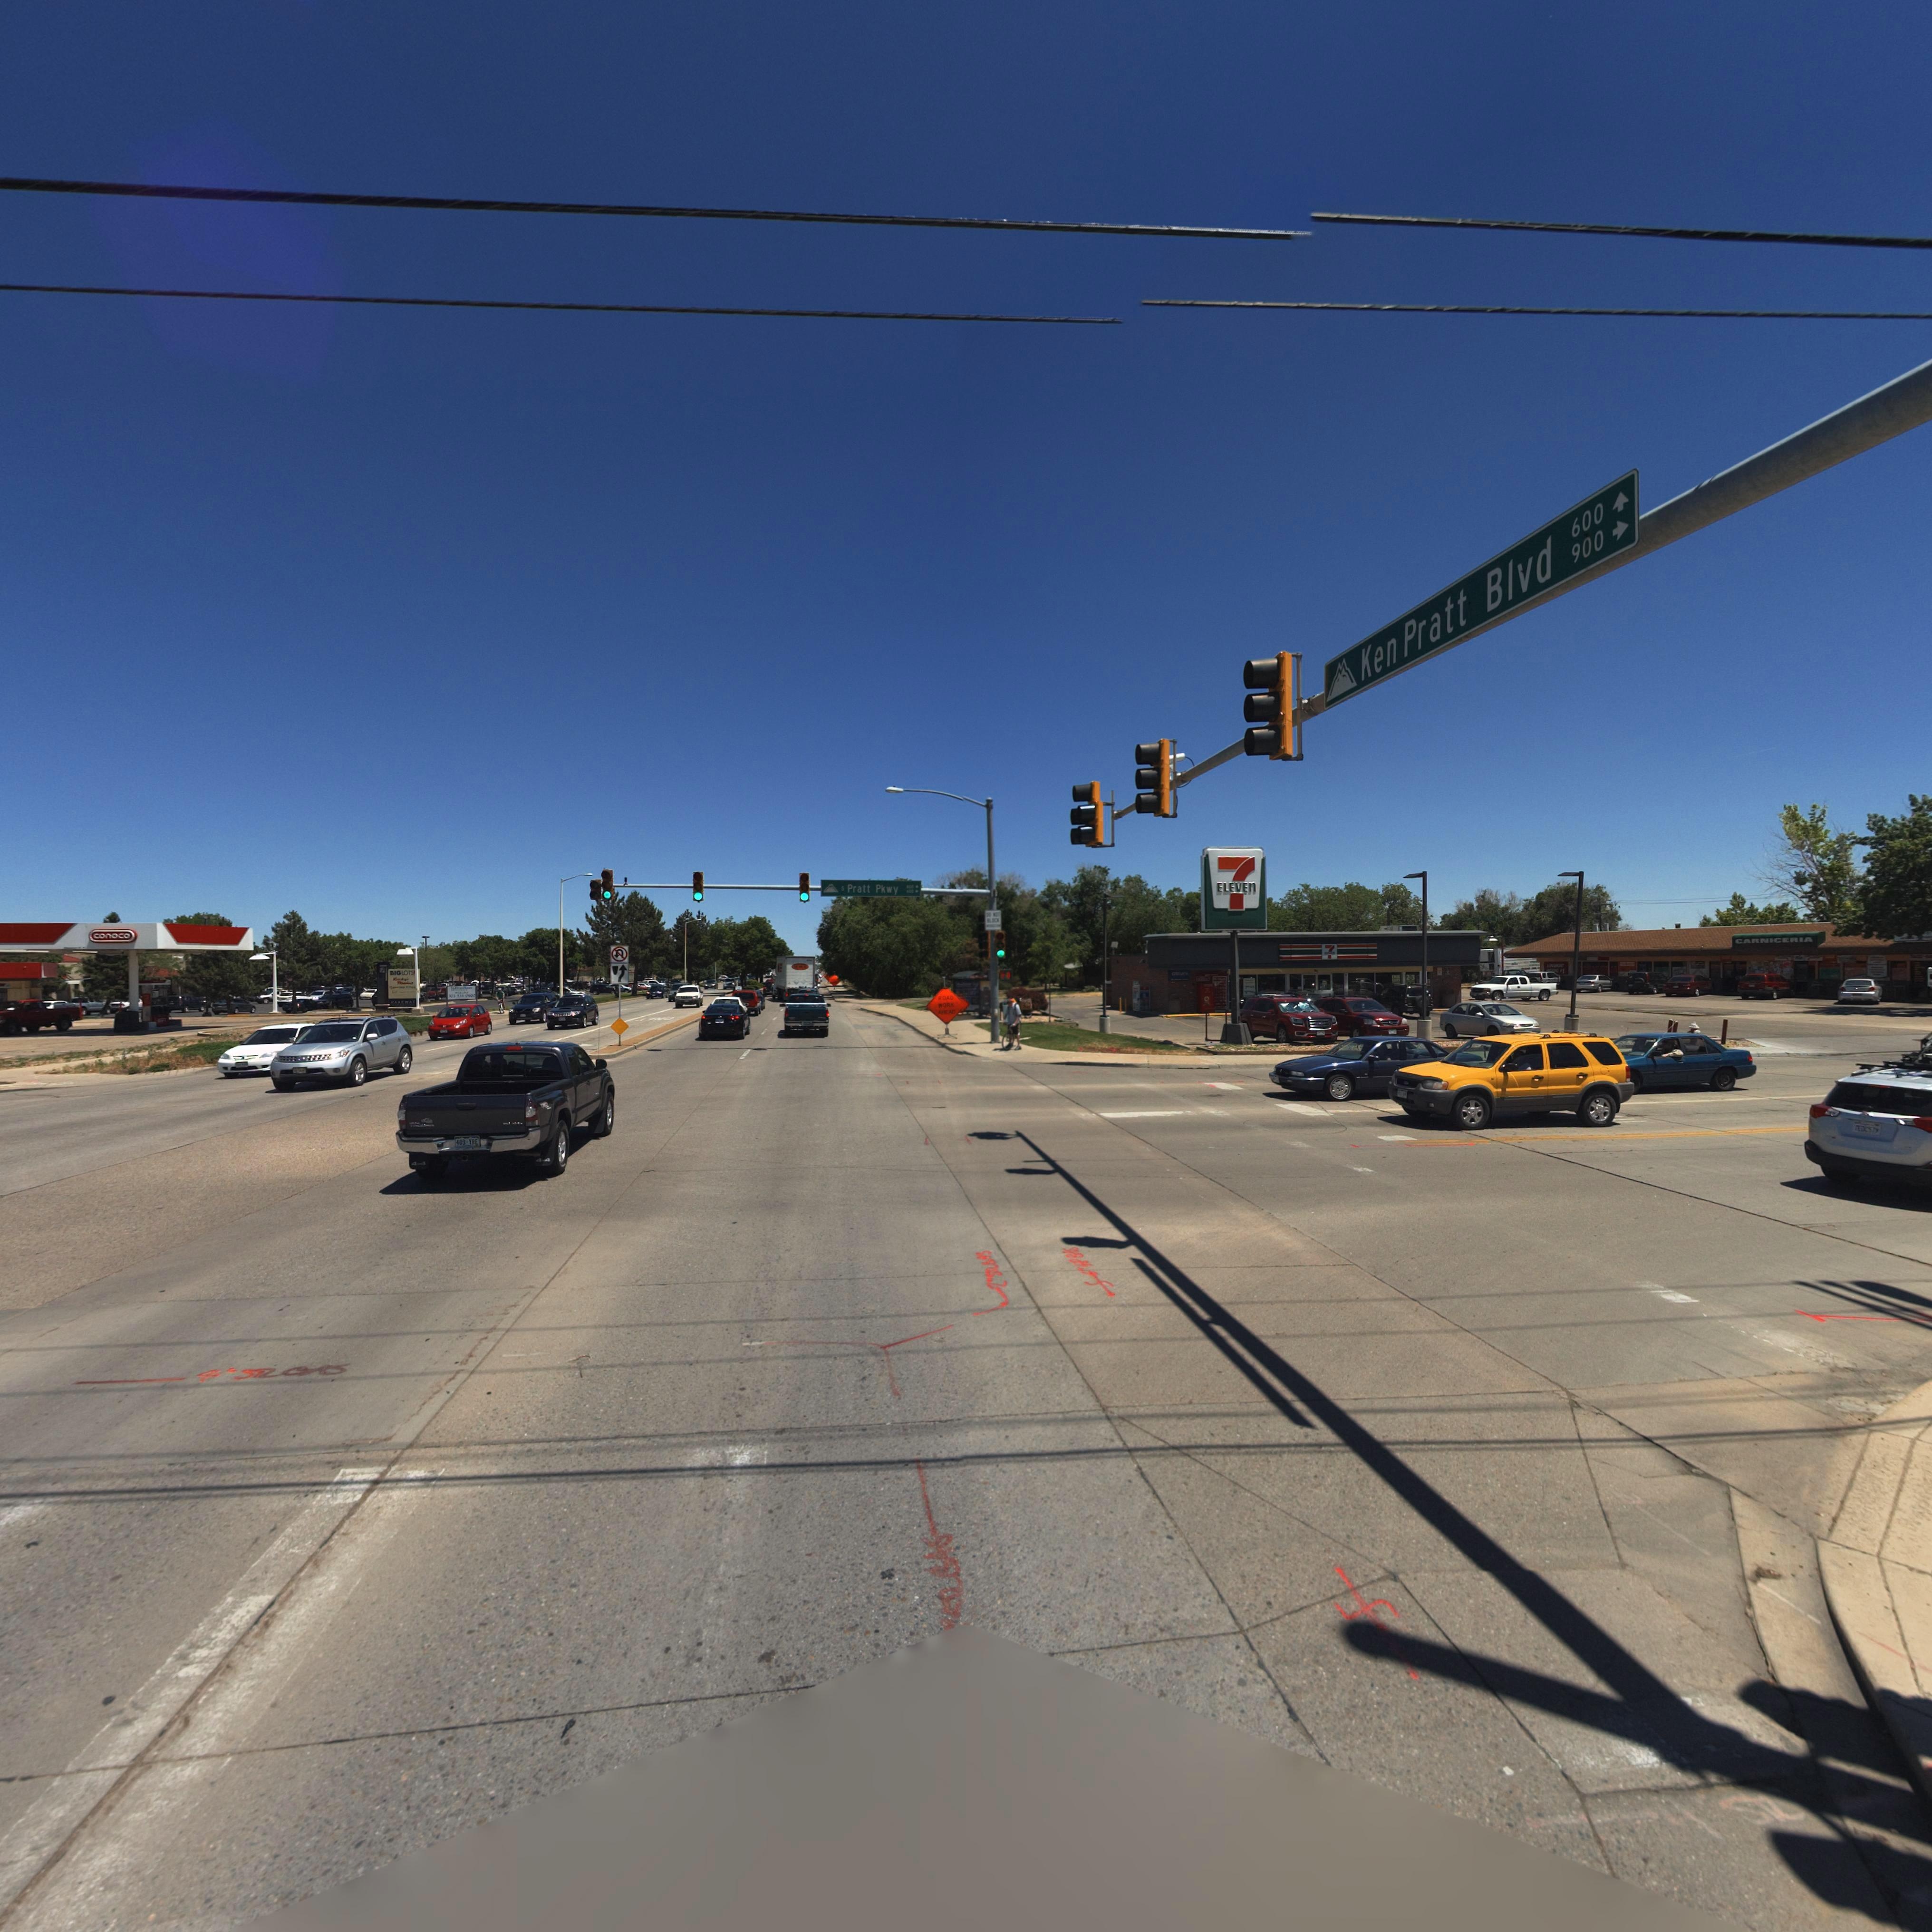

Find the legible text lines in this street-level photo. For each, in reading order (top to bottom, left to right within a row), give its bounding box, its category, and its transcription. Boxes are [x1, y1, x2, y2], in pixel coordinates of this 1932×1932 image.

[1571, 500, 1606, 538] StreetNumberRange: 600
[1569, 519, 1630, 564] StreetNumberRange: 900->
[1360, 531, 1554, 683] StreetName: Ken Pratt Blvd
[840, 883, 899, 895] StreetName: S Pratt Pkwy
[906, 884, 914, 889] StreetNumberRange: *00
[1217, 855, 1256, 910] BusinessName: 7
[1216, 881, 1256, 892] BusinessName: ELEVEN
[93, 933, 130, 939] BusinessName: conoco
[1324, 945, 1334, 958] BusinessName: 7
[392, 976, 409, 981] BusinessName: L**ky's
[389, 970, 415, 976] BusinessName: BIGLOTS!
[396, 981, 414, 985] BusinessName: Market